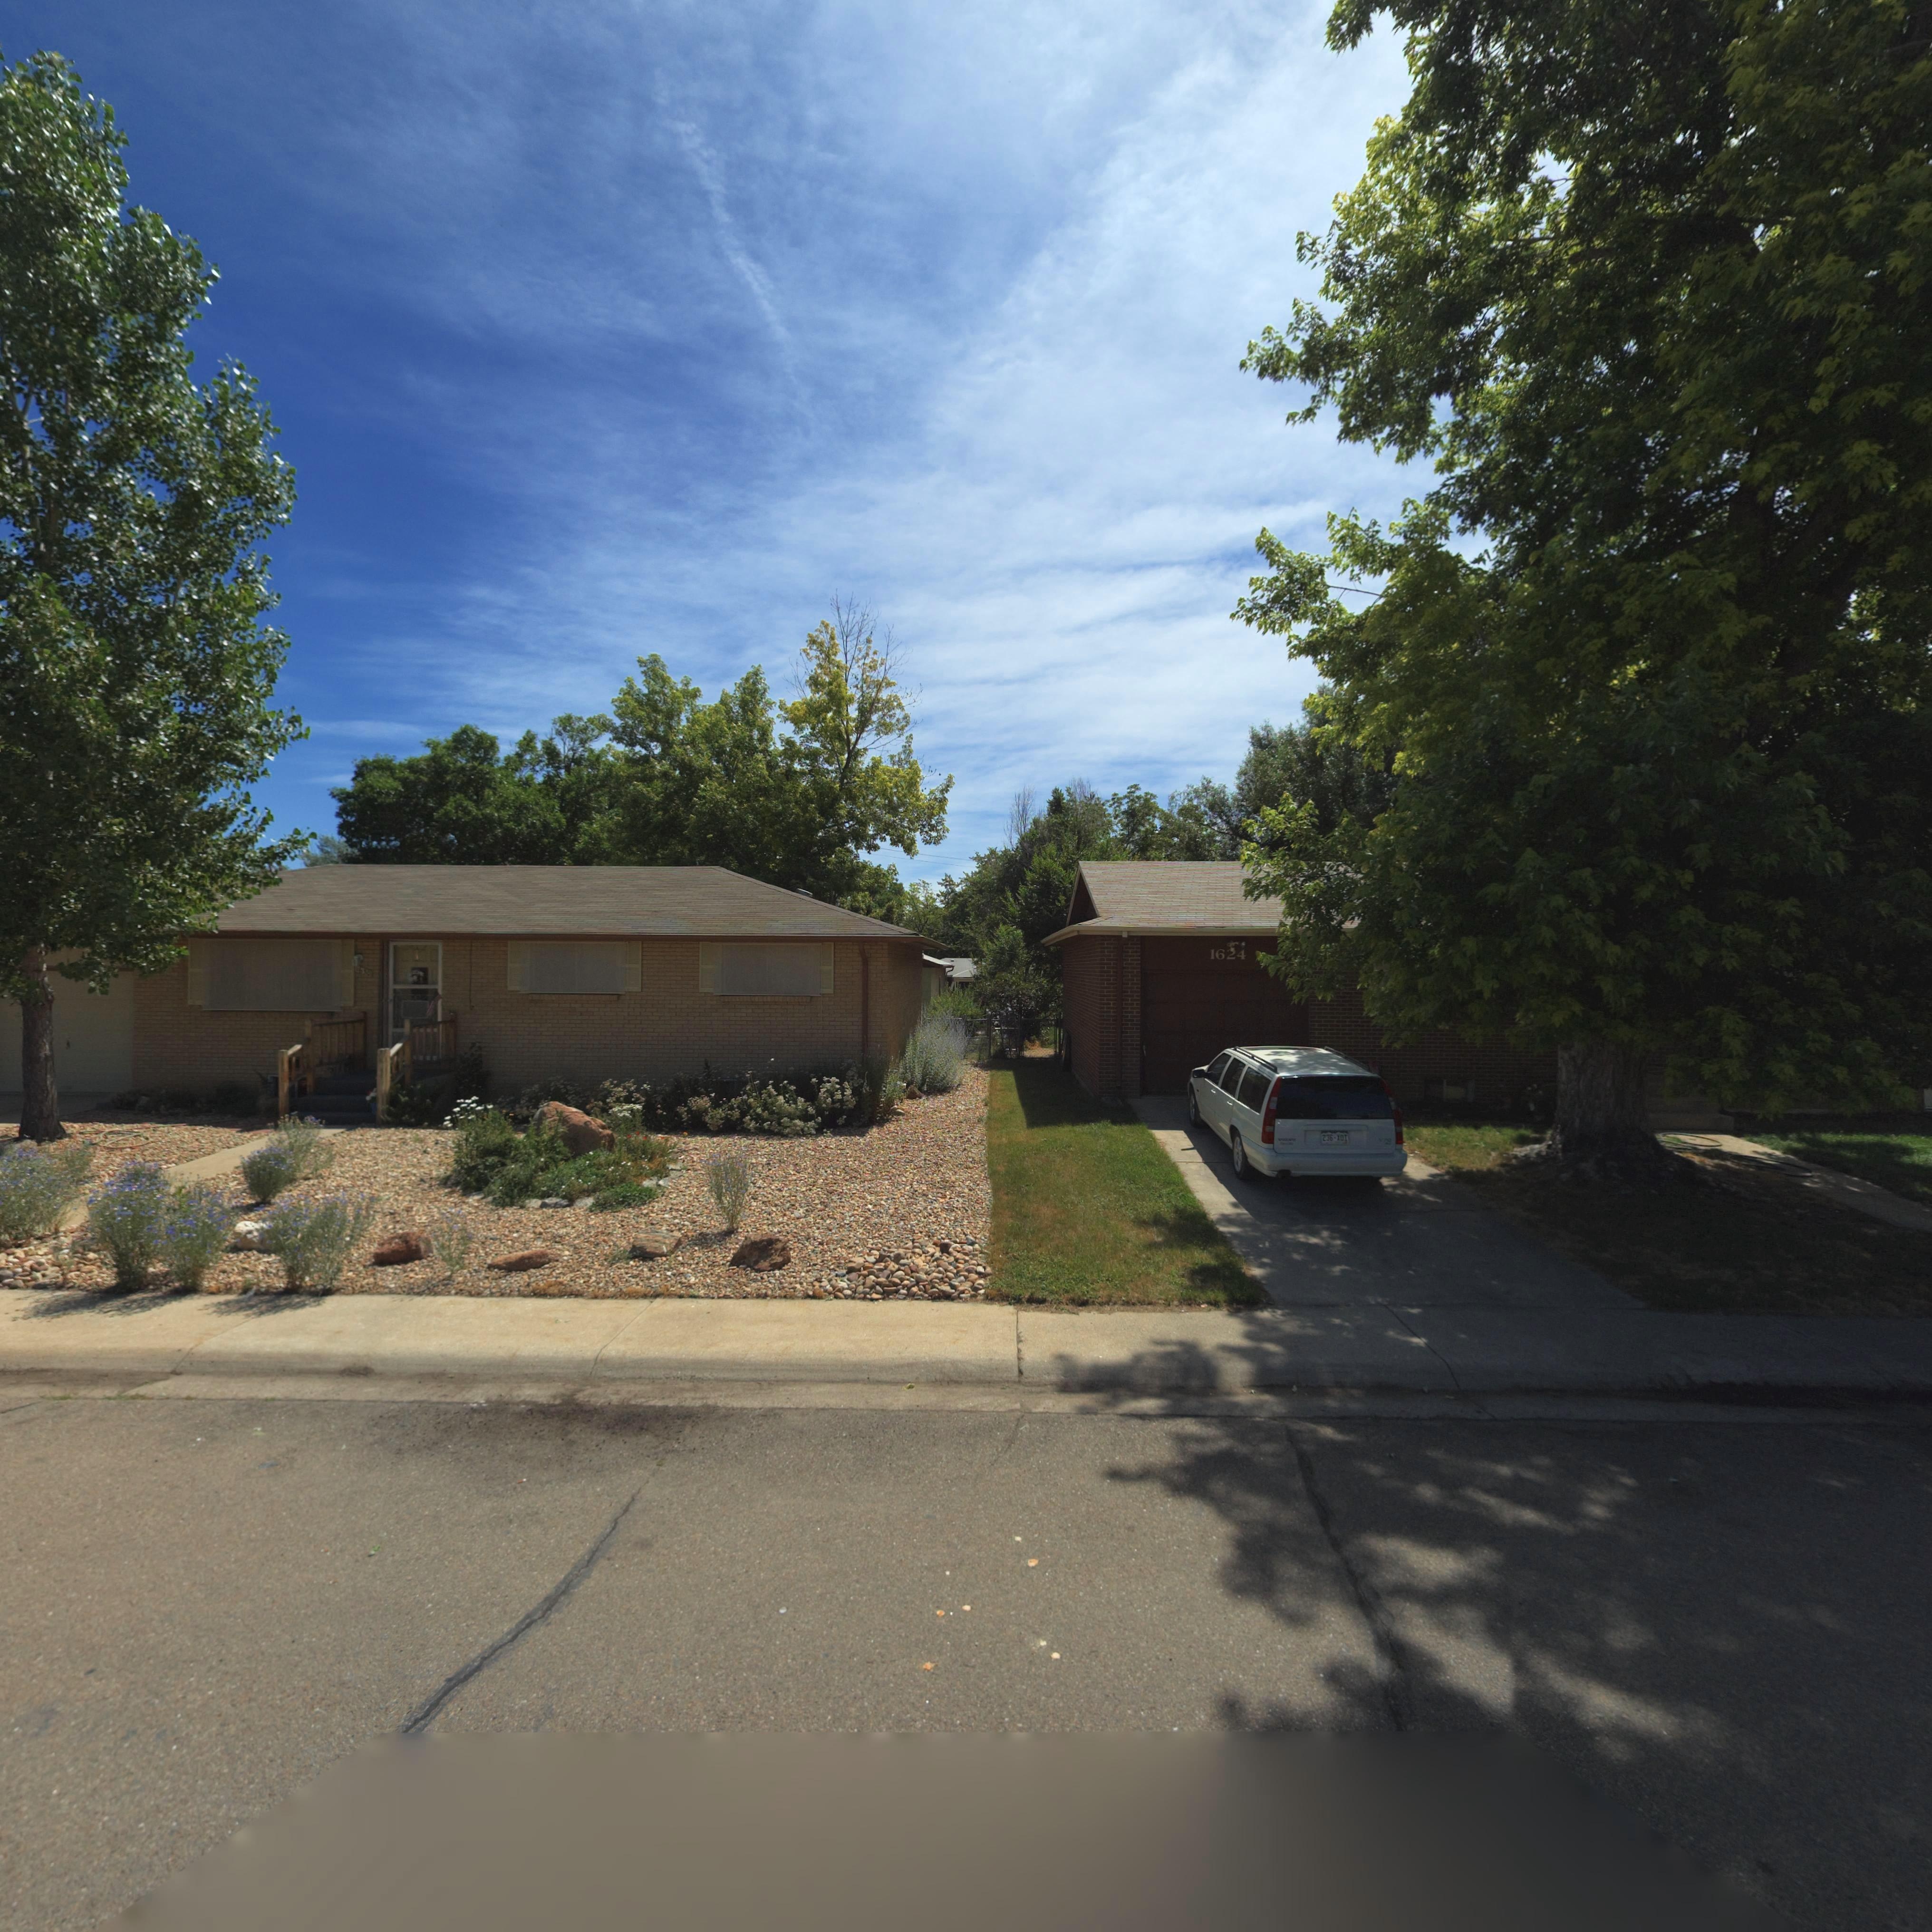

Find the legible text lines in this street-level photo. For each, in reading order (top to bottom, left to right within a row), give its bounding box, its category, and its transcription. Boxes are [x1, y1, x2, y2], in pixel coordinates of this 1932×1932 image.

[1209, 948, 1247, 960] StreetNumber: 1624
[354, 965, 371, 977] StreetNumber: 1650